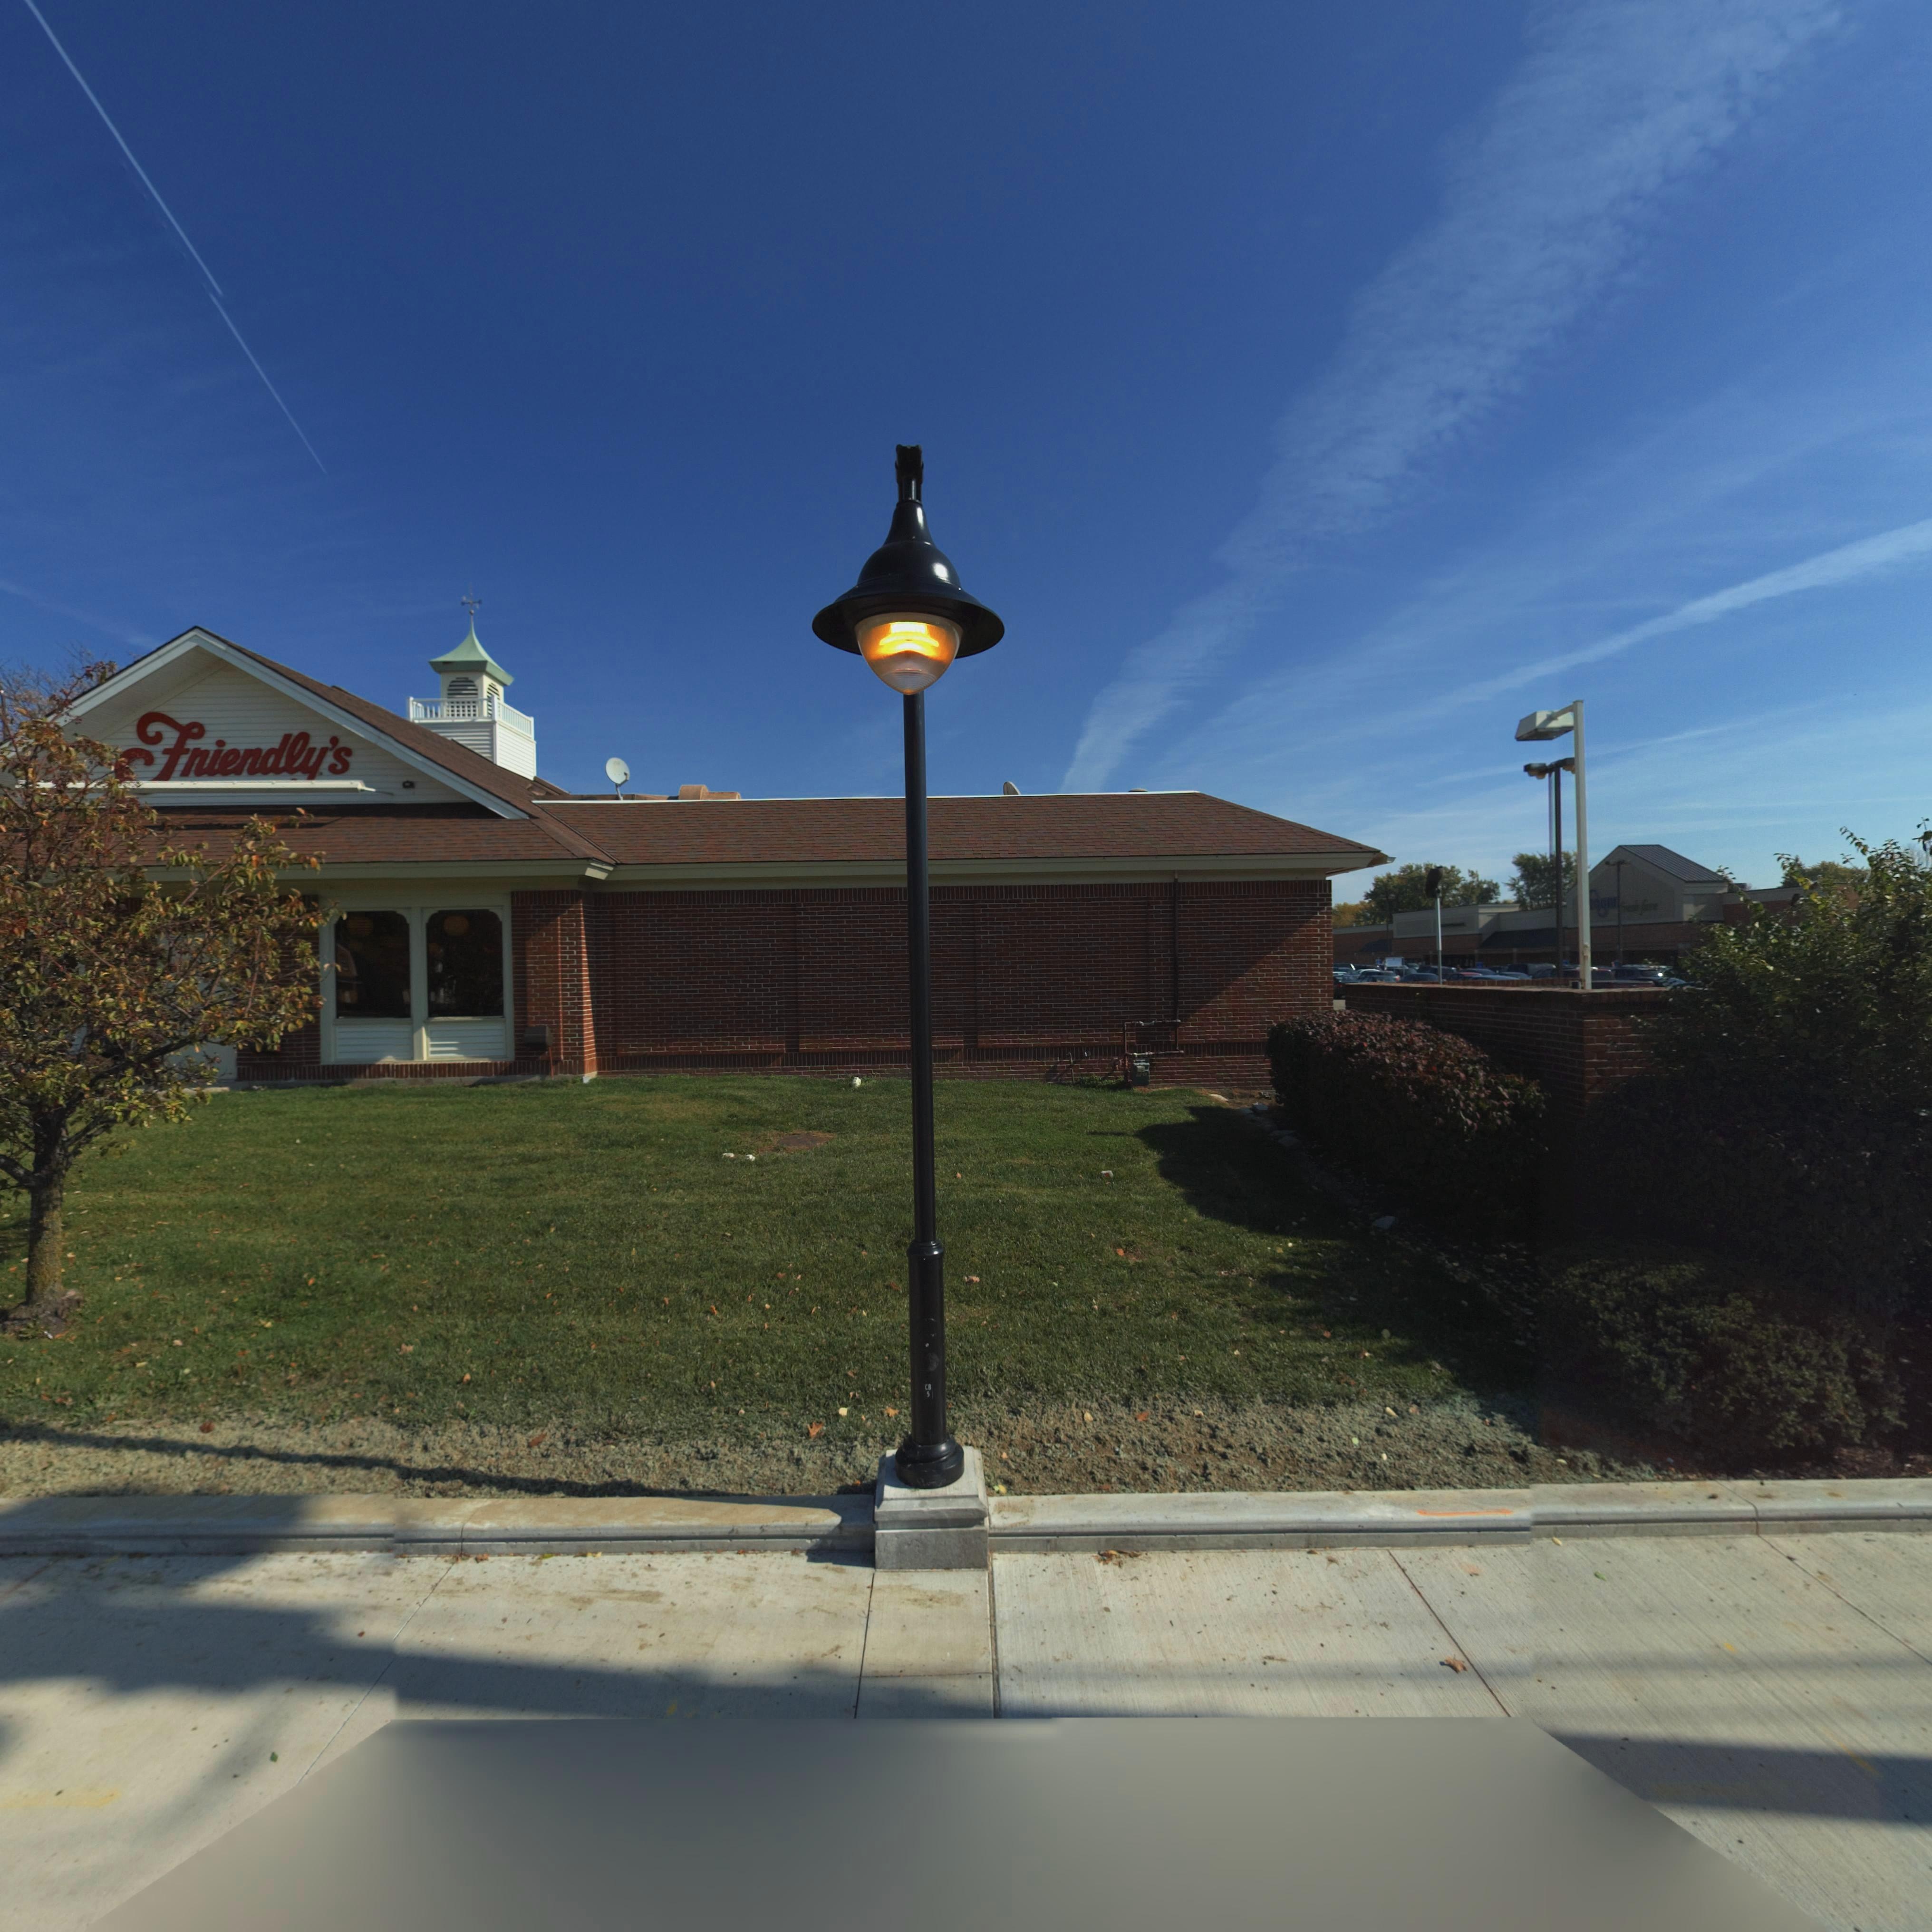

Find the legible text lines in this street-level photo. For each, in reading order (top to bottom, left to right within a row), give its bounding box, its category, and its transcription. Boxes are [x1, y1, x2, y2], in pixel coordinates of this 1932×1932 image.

[149, 720, 353, 782] None: Friendly's
[1593, 897, 1609, 918] BusinessName: og